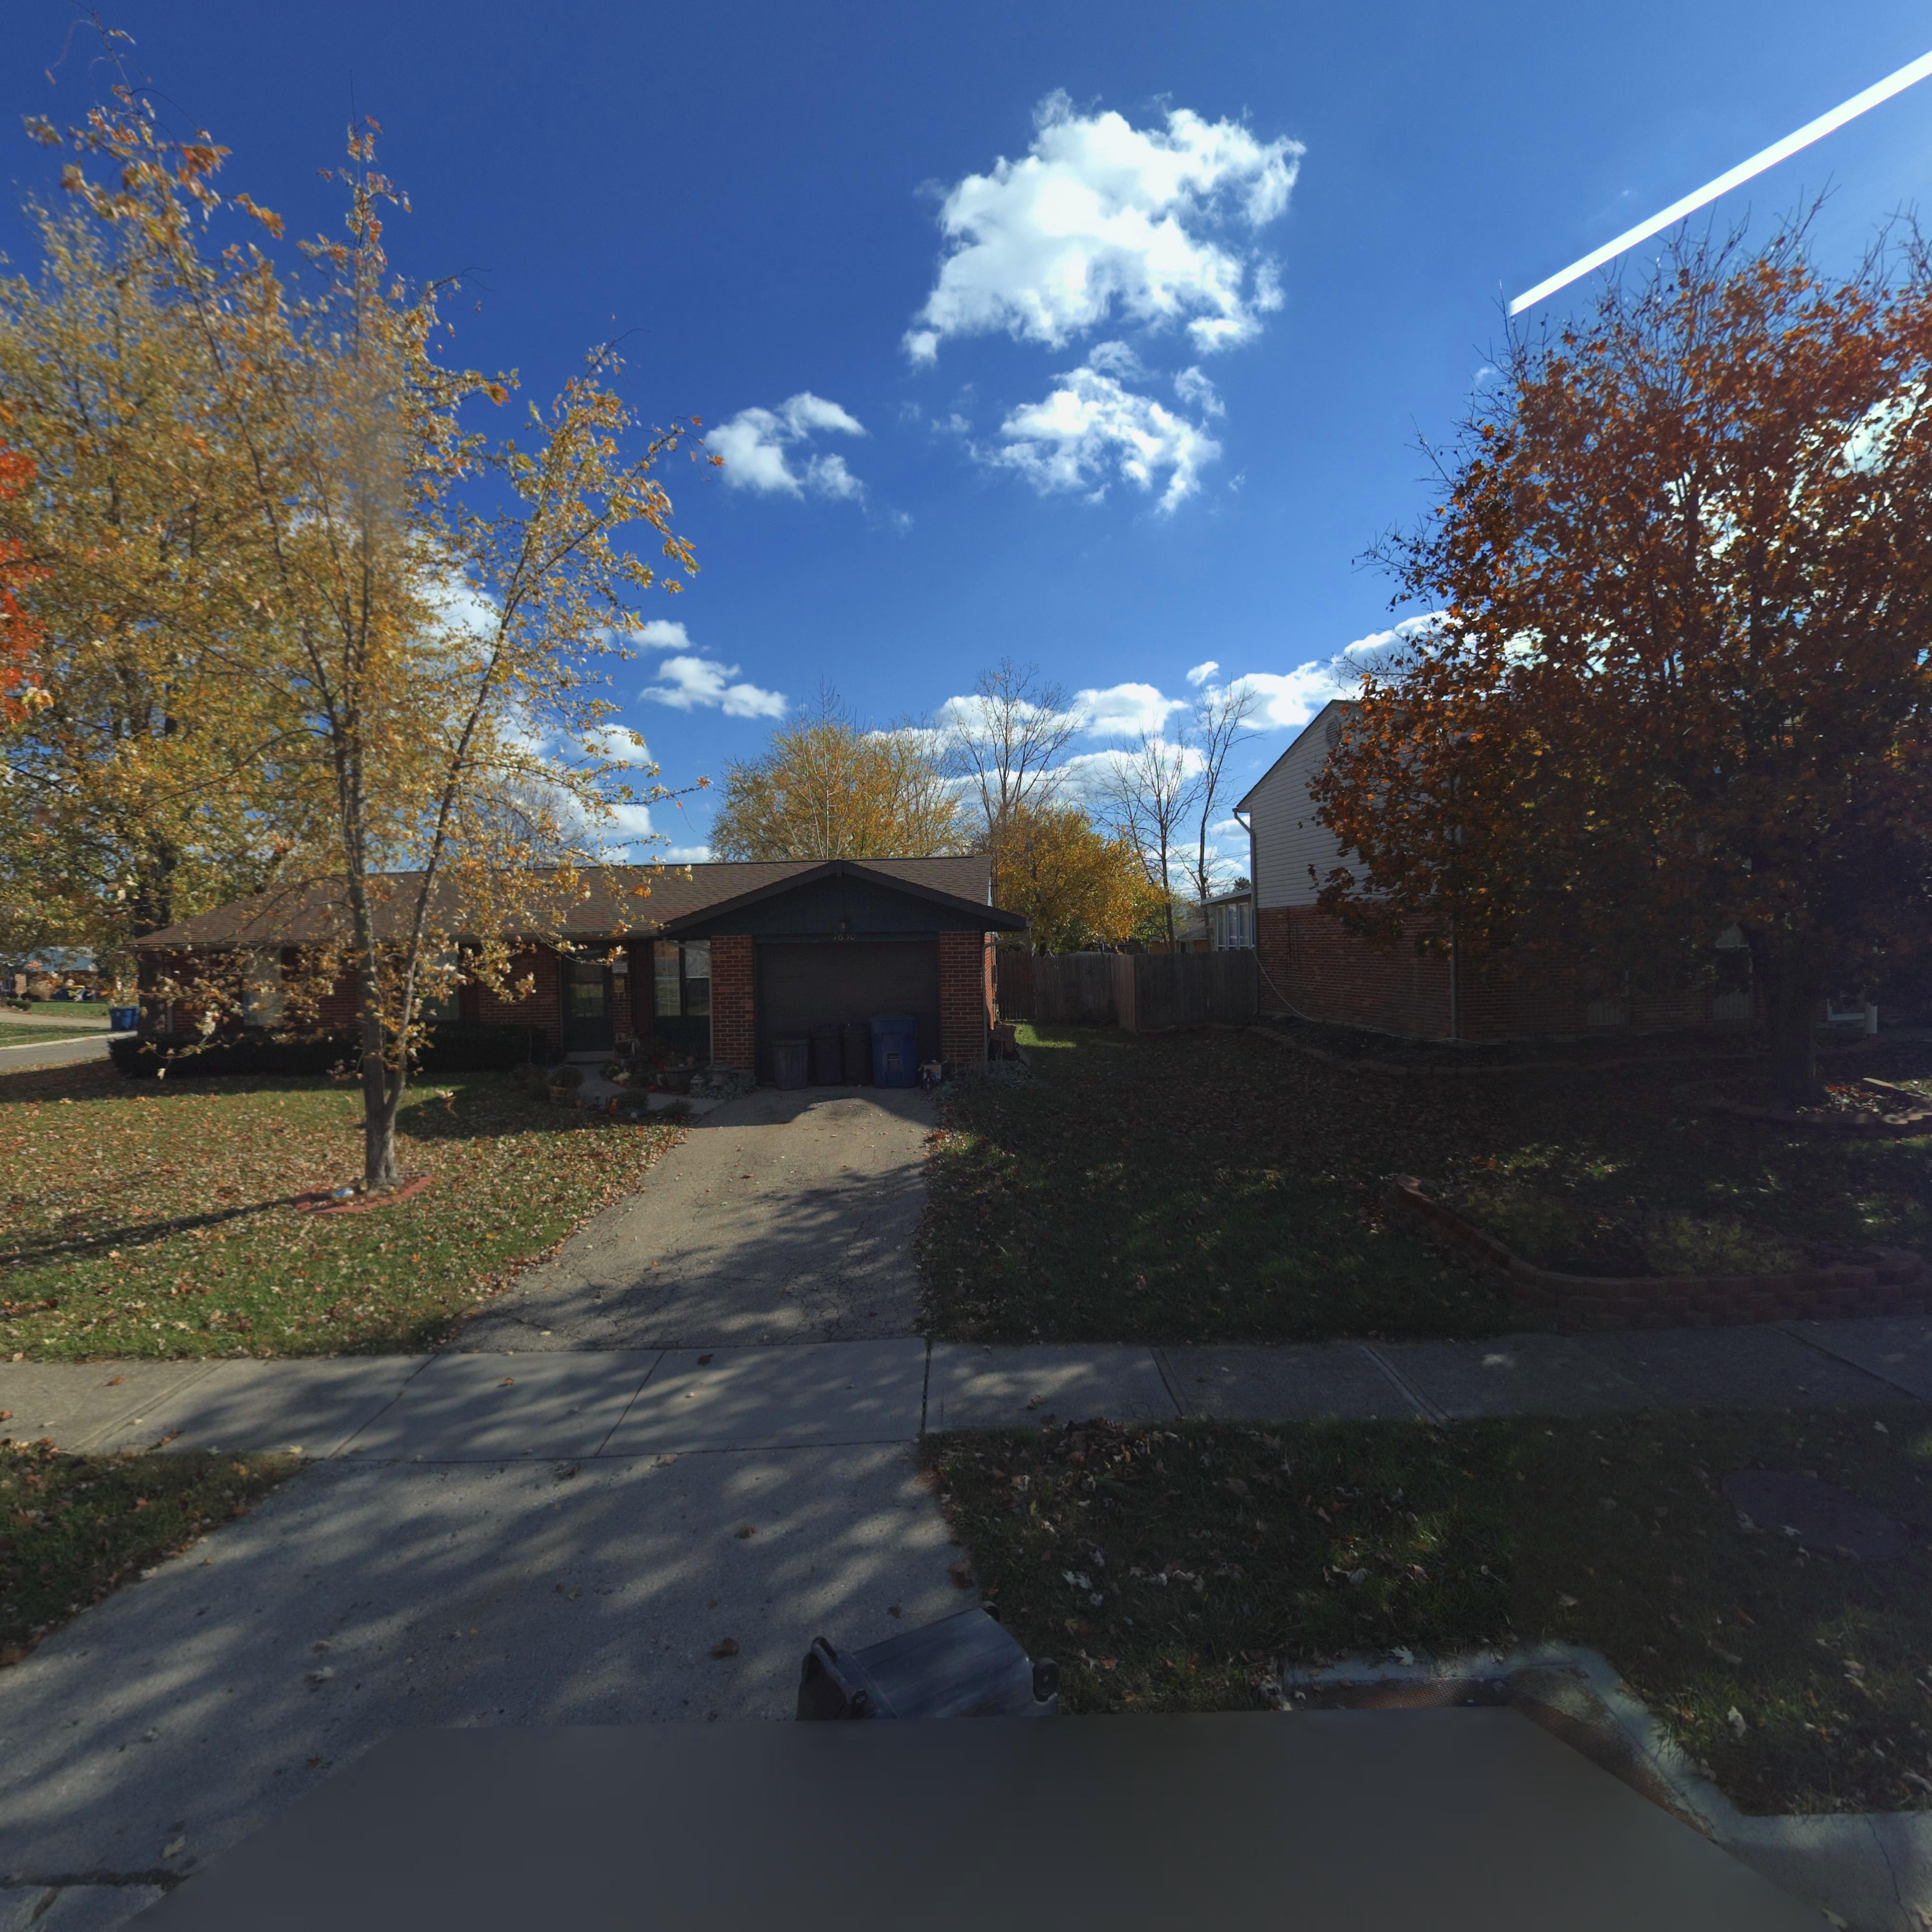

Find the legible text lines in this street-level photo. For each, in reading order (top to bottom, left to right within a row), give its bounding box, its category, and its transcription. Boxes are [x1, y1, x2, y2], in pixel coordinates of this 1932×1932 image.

[832, 932, 858, 942] StreetNumber: 7630